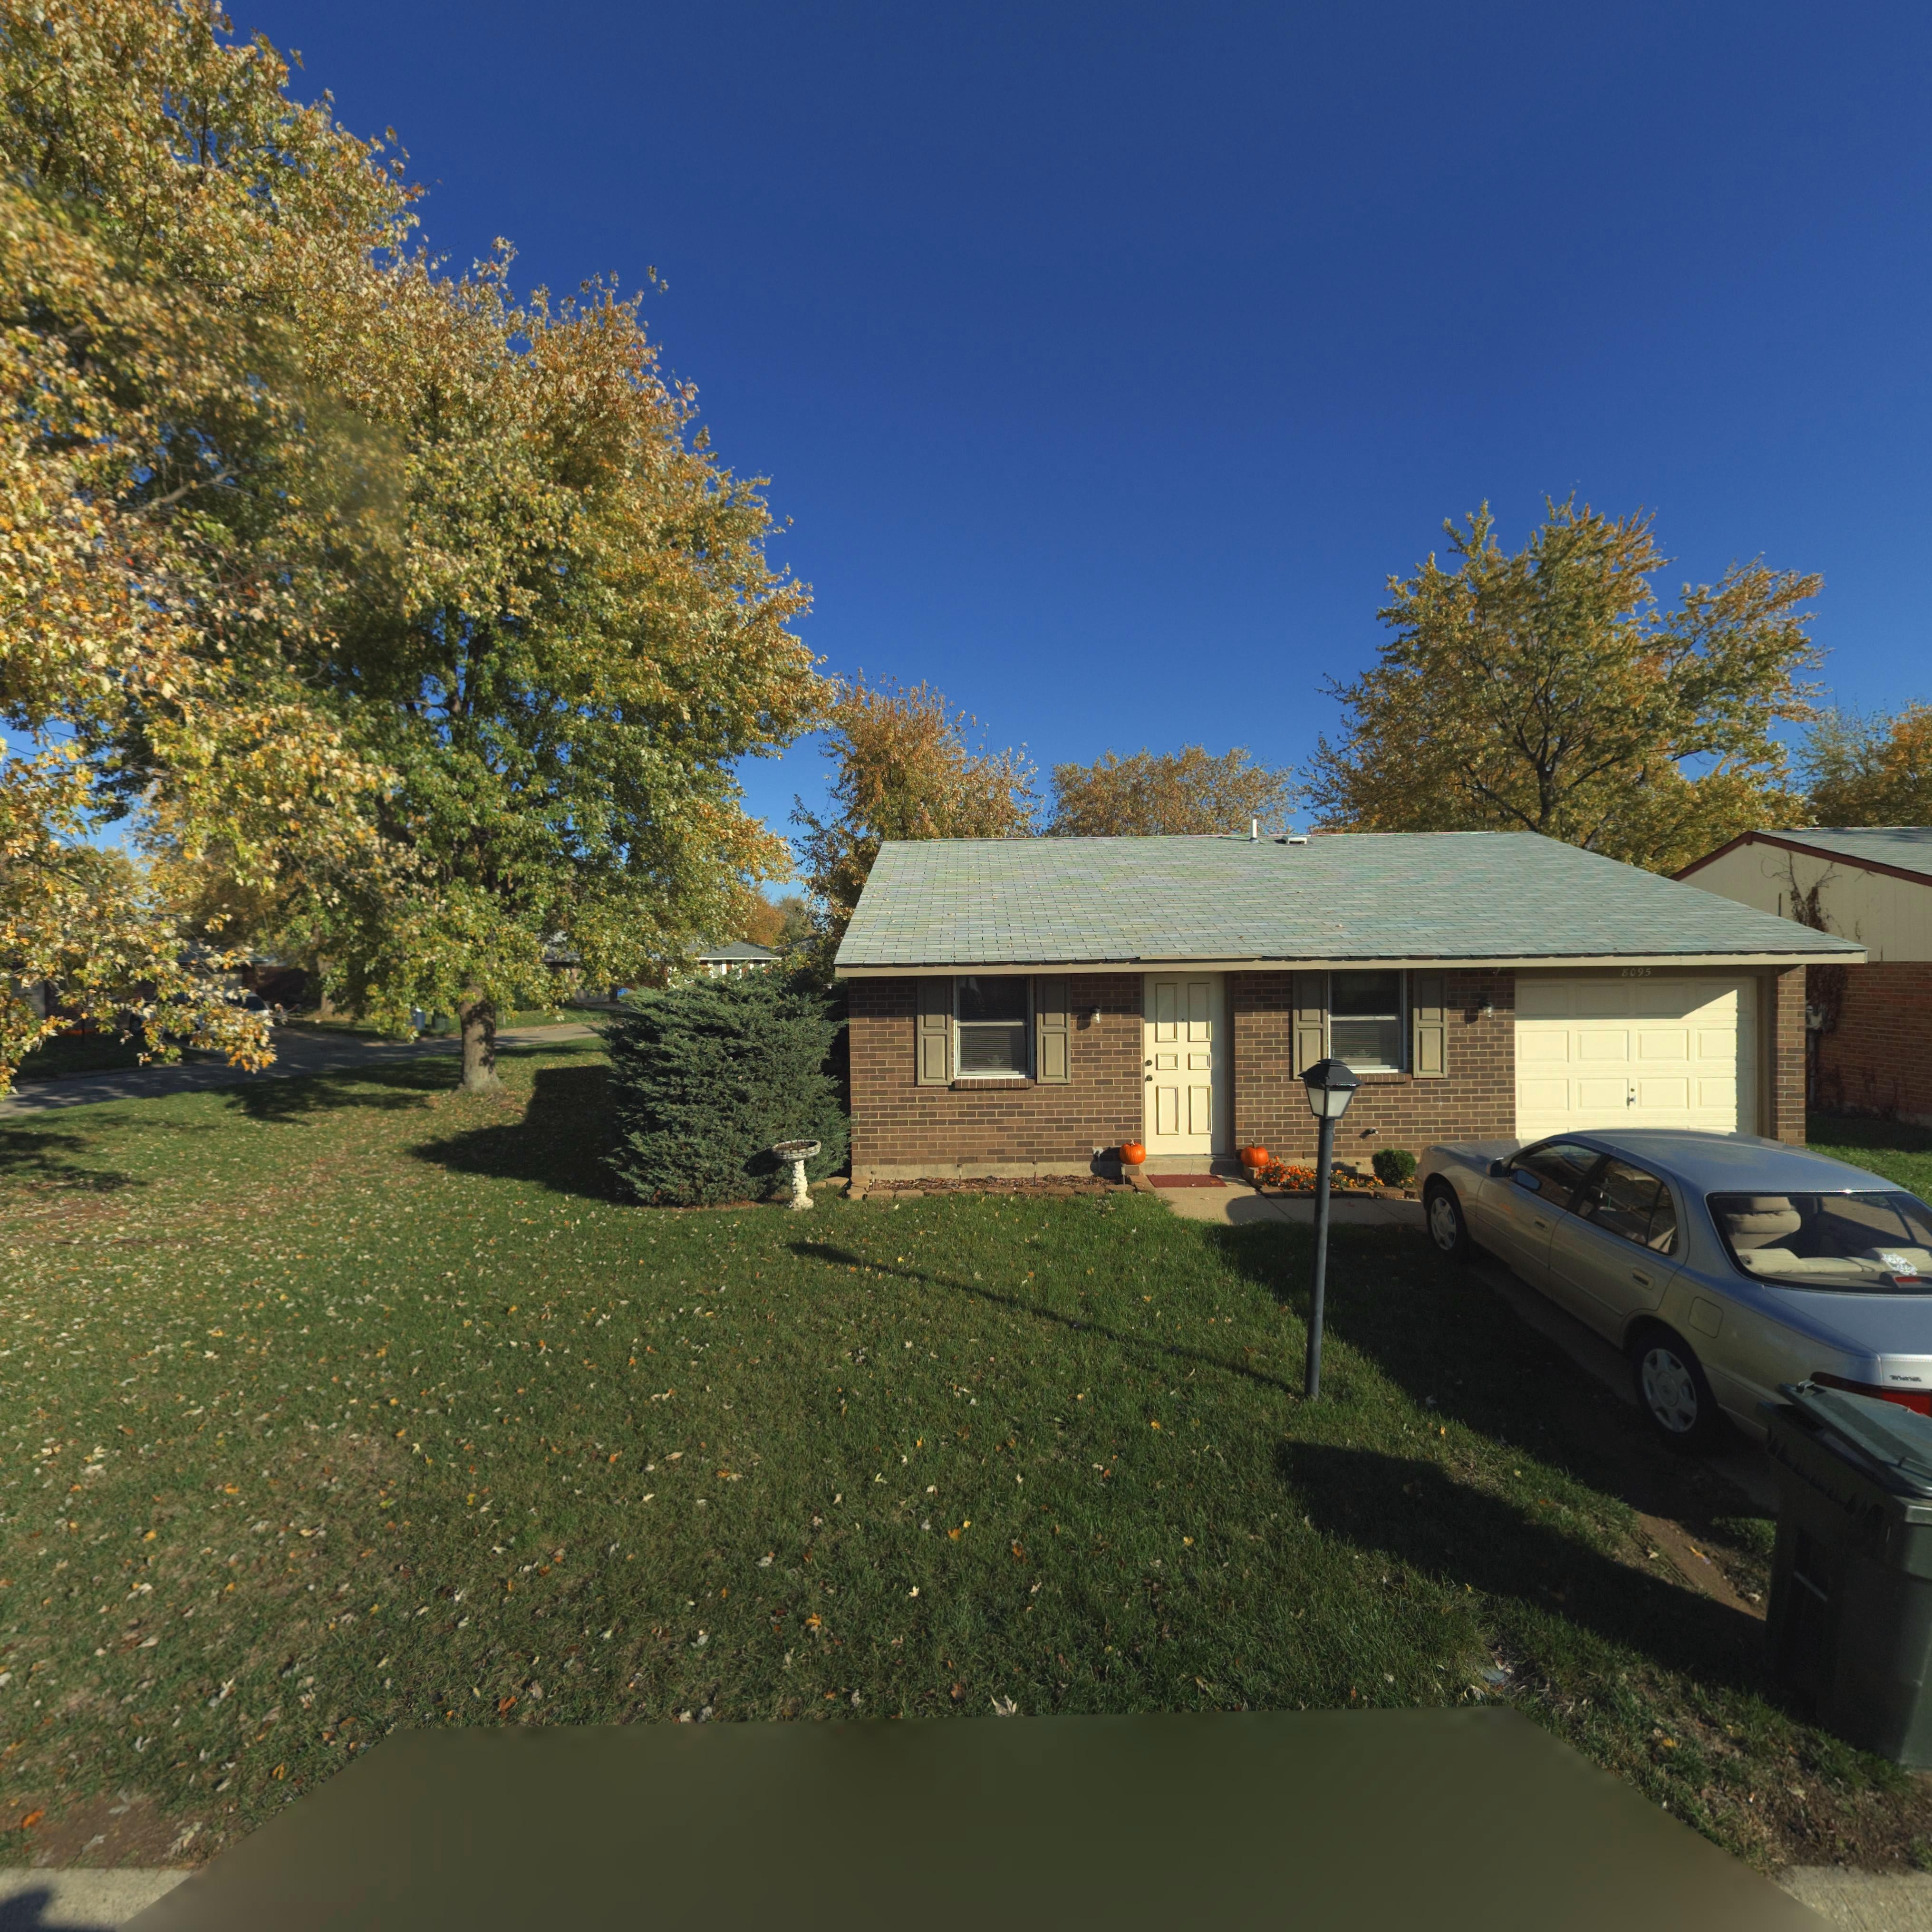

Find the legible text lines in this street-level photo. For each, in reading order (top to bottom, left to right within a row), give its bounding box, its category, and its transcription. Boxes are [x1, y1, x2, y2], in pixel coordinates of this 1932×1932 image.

[1621, 966, 1652, 978] StreetNumber: 8095